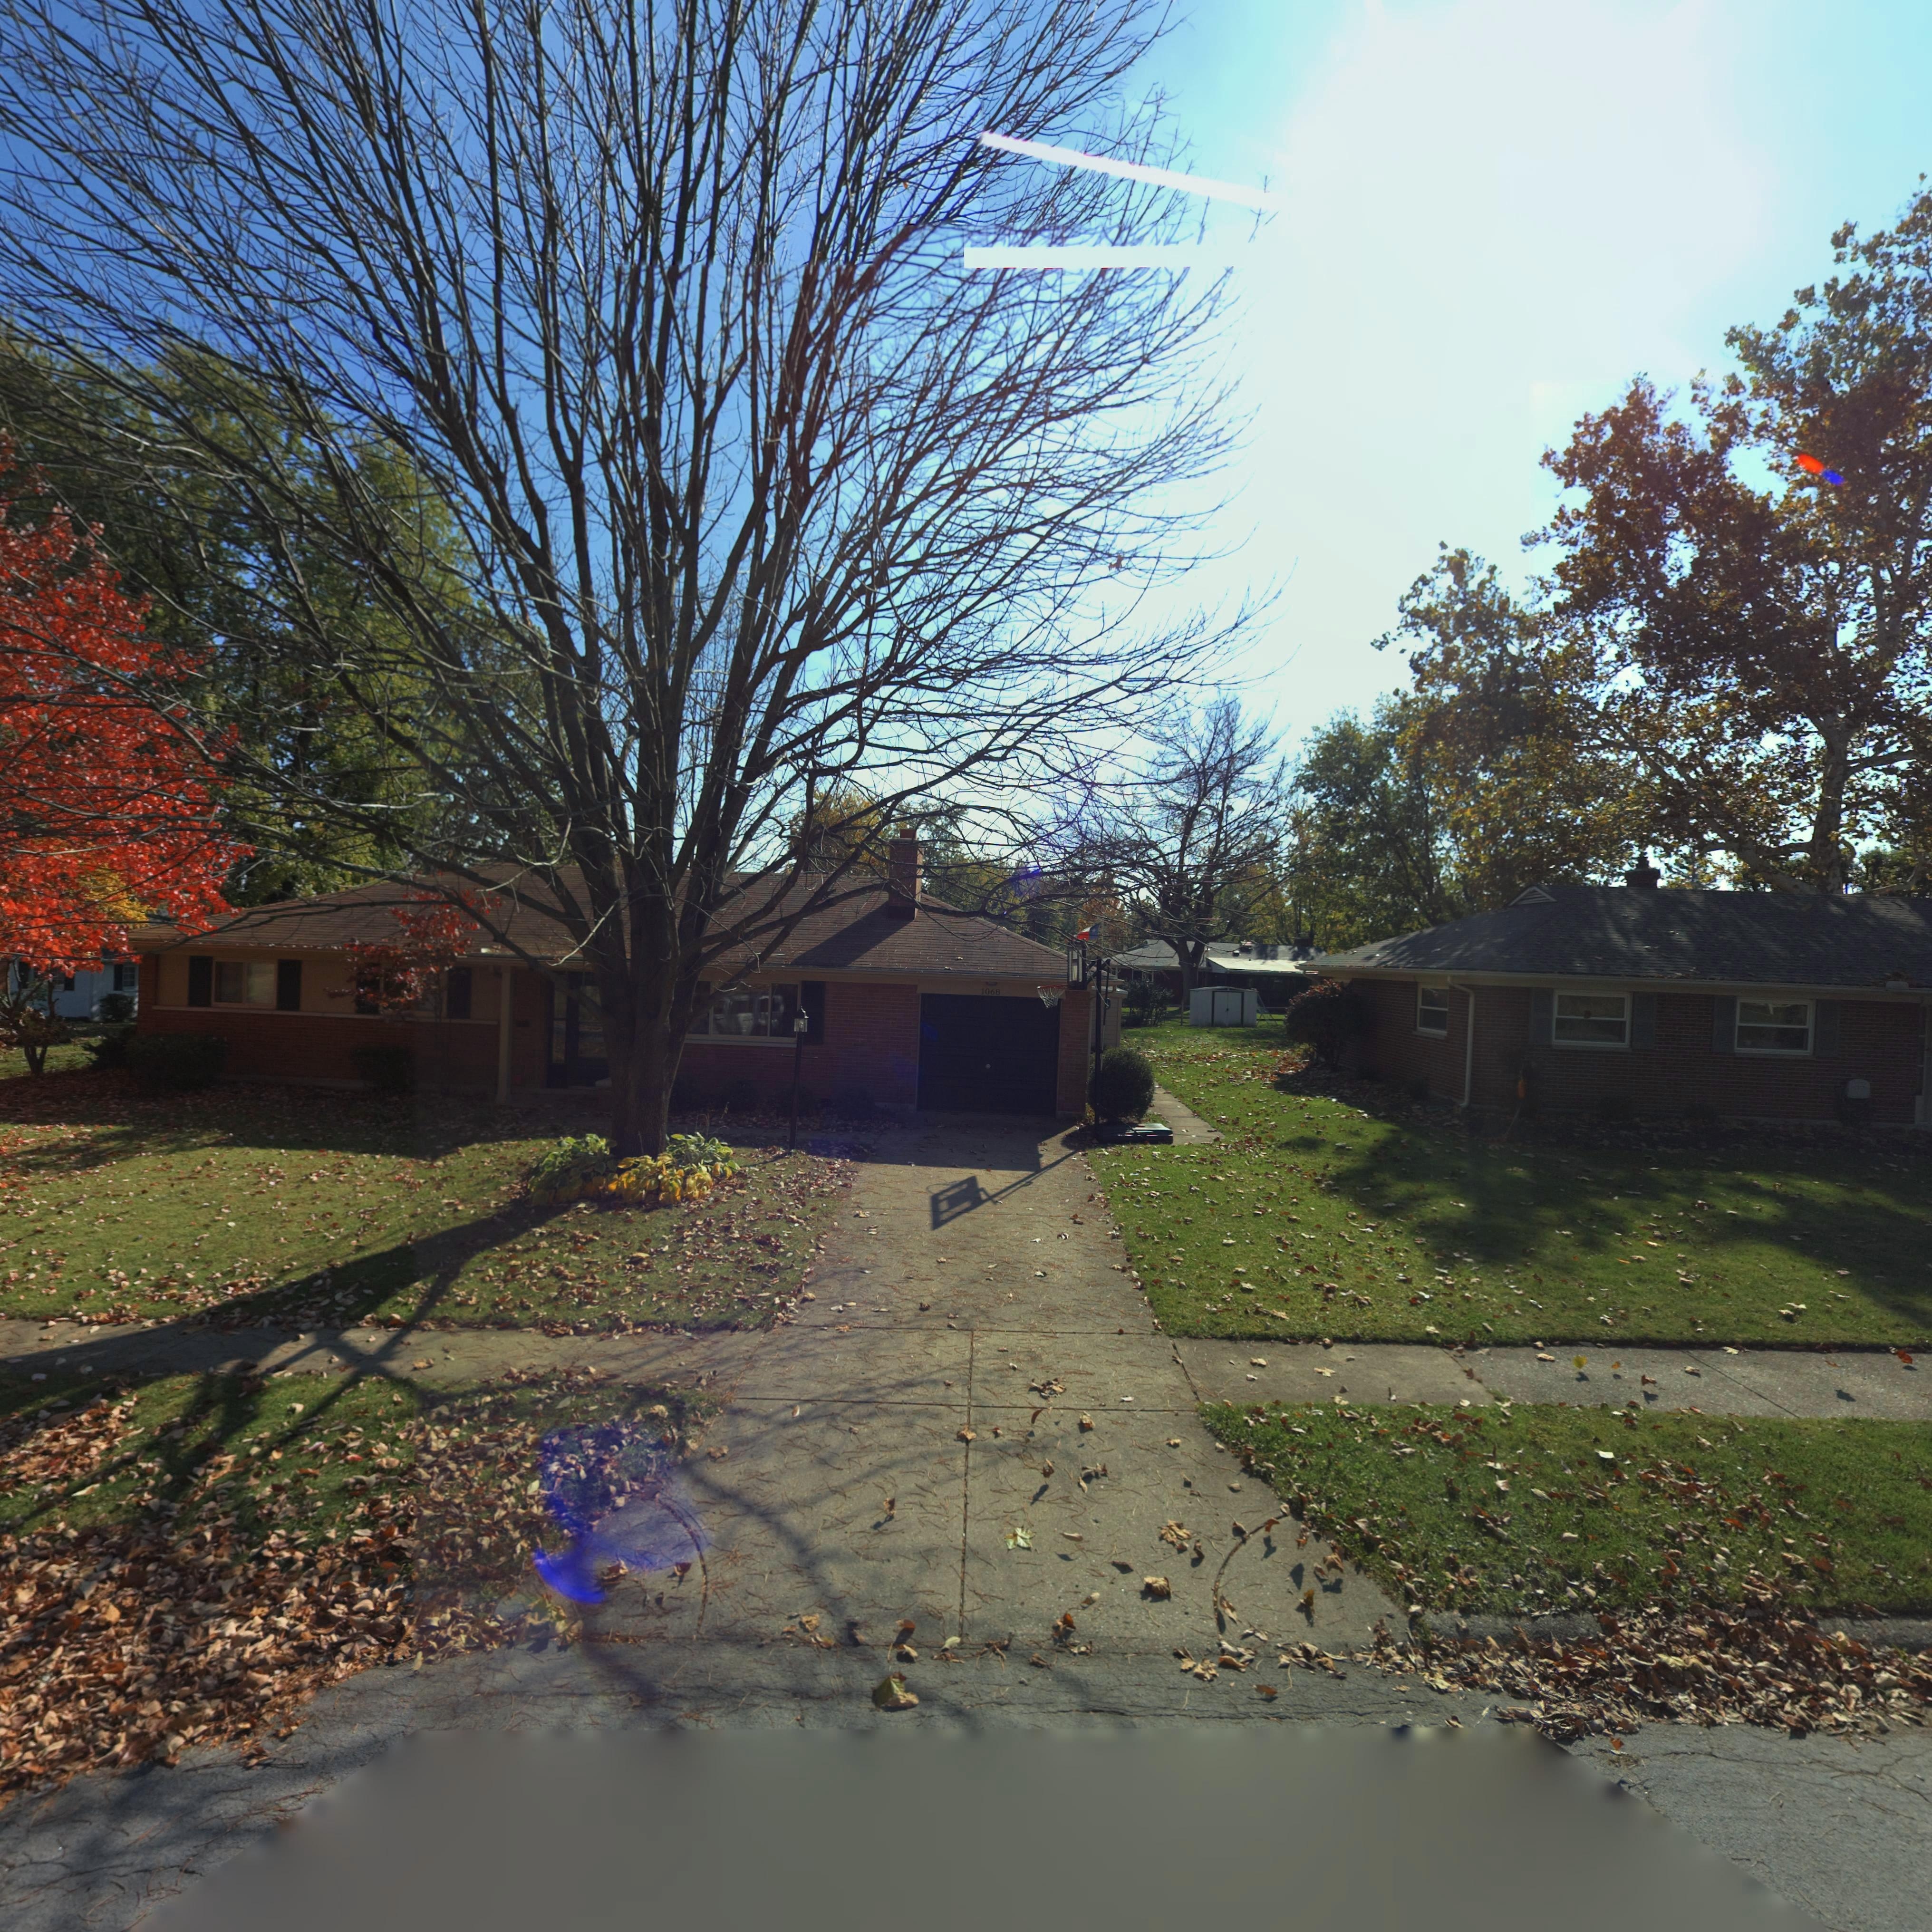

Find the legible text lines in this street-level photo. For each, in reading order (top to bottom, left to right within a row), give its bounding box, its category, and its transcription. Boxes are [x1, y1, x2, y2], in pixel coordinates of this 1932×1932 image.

[981, 988, 1001, 995] StreetNumber: 1068